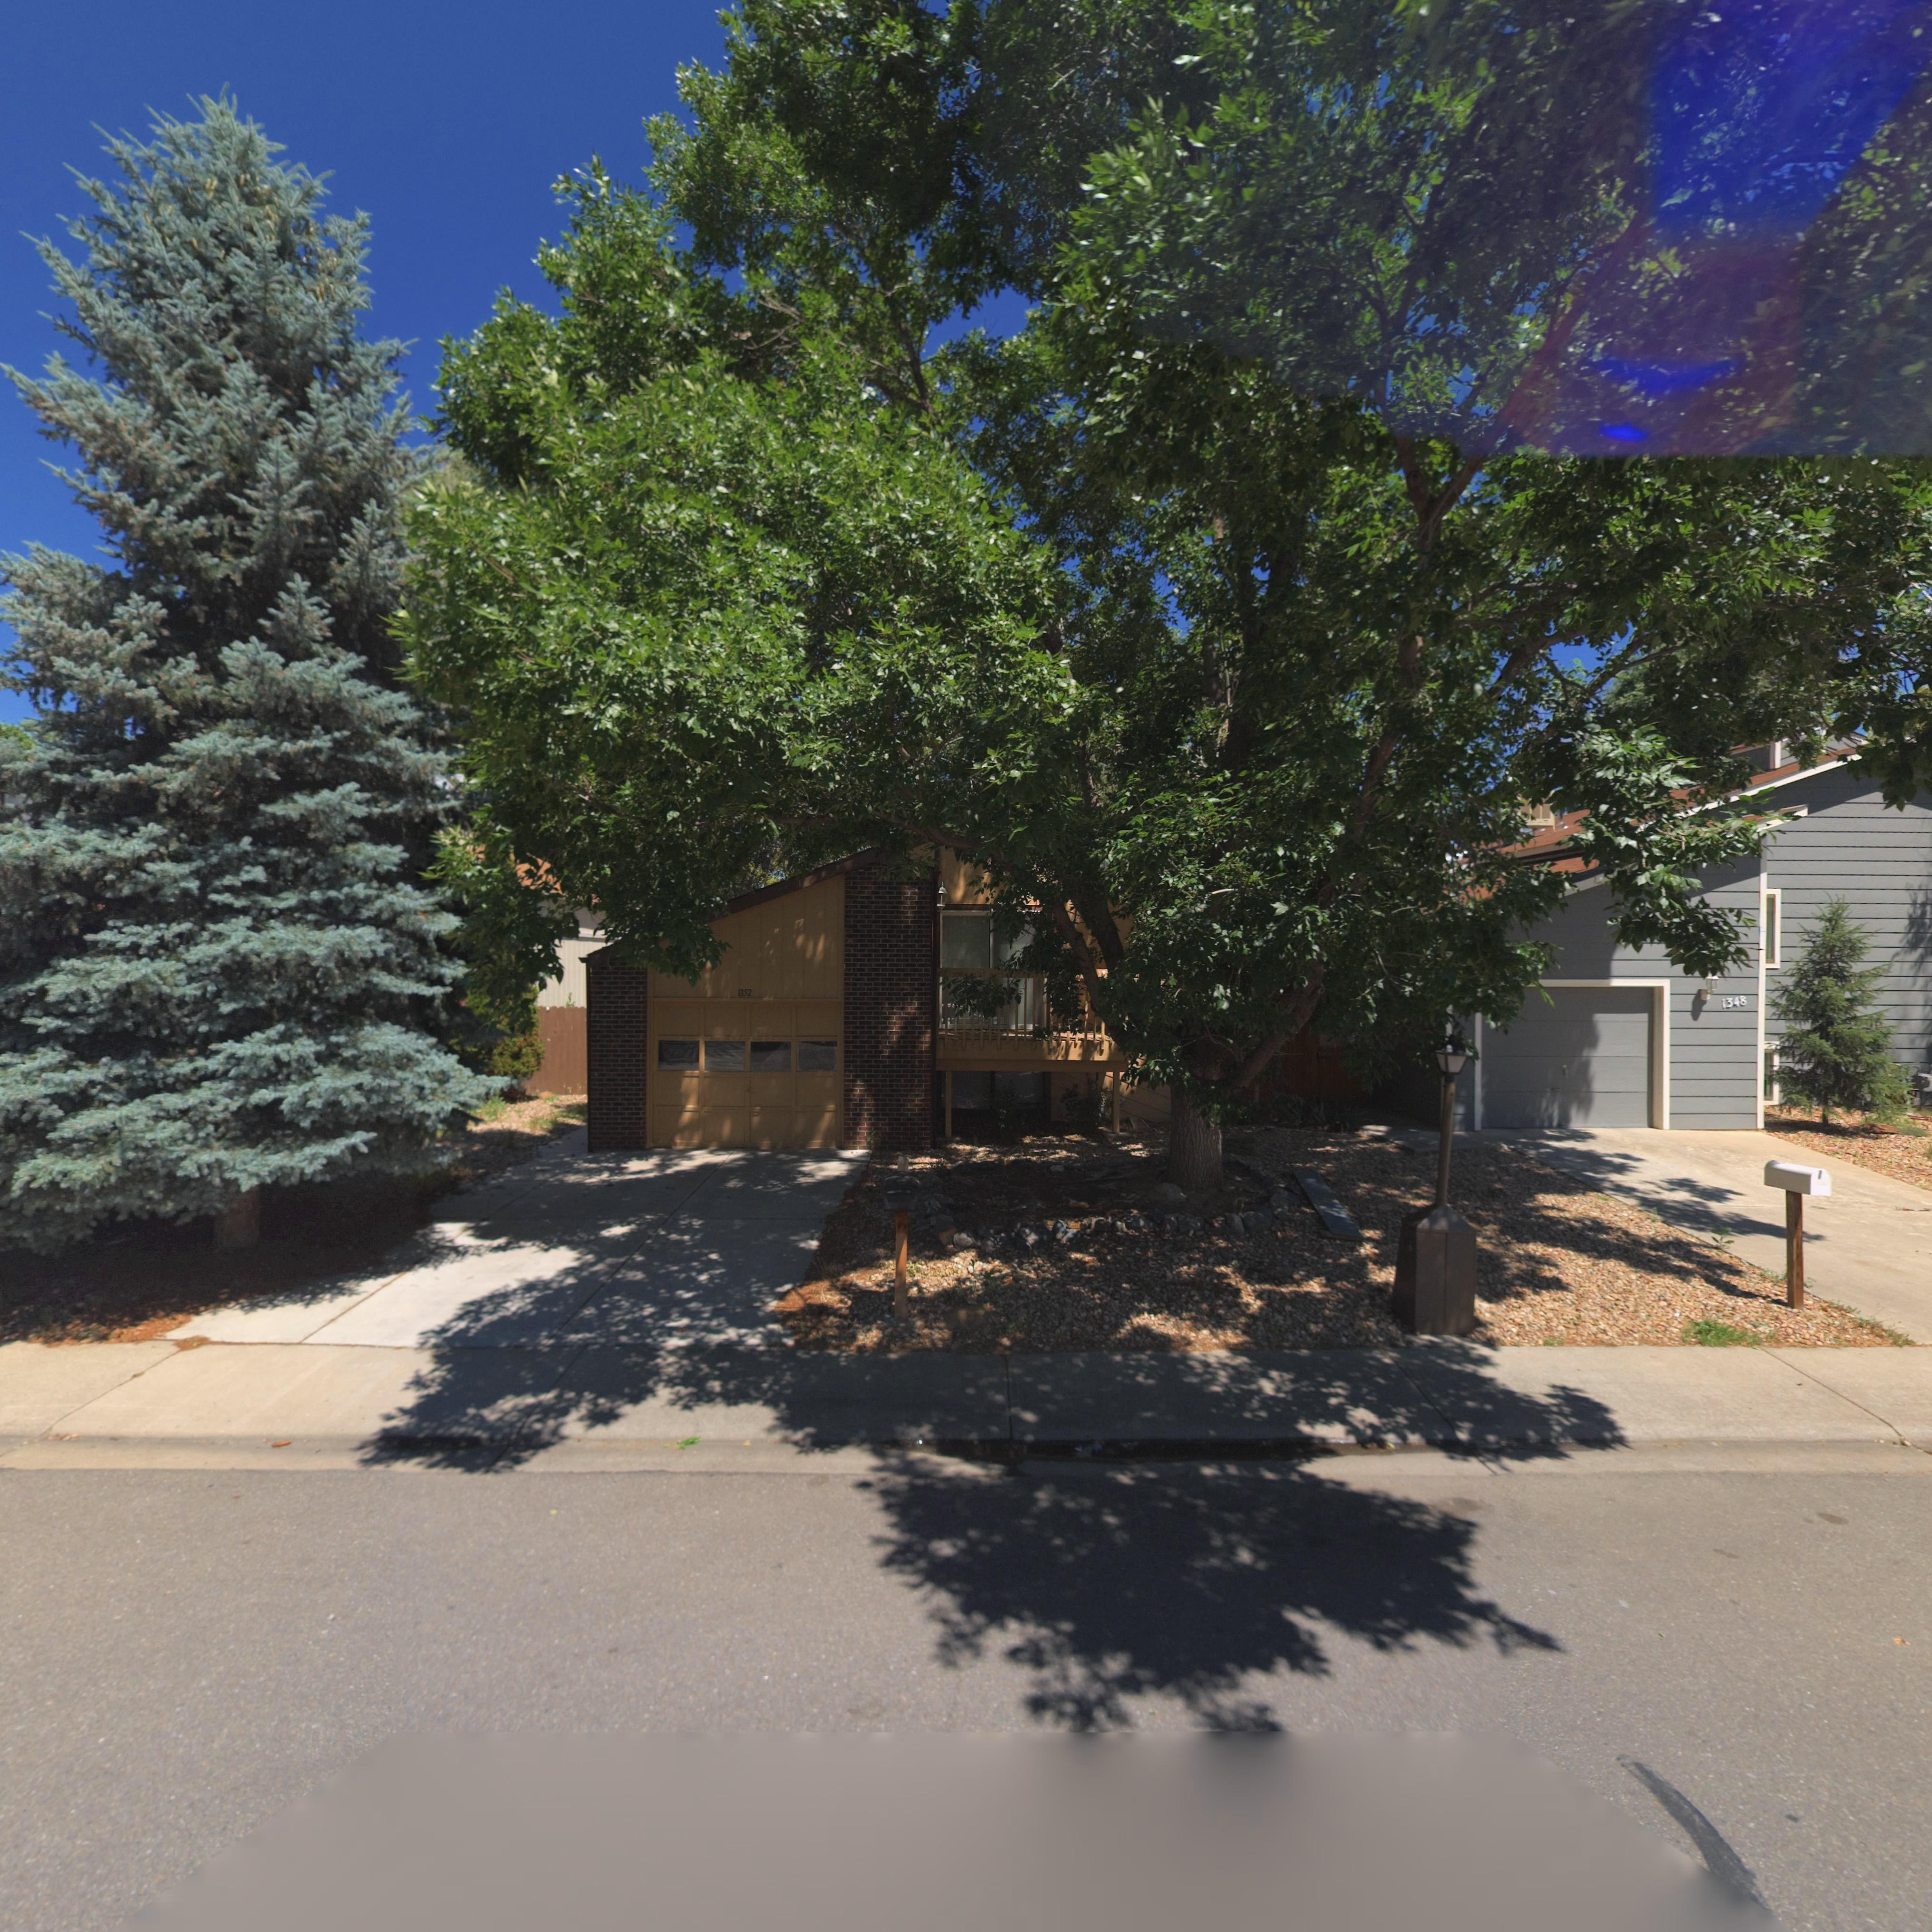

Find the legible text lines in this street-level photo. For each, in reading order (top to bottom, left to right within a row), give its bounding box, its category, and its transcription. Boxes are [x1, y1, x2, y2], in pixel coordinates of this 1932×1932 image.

[737, 988, 752, 997] StreetNumber: 1352
[1720, 995, 1748, 1009] StreetNumber: 1348